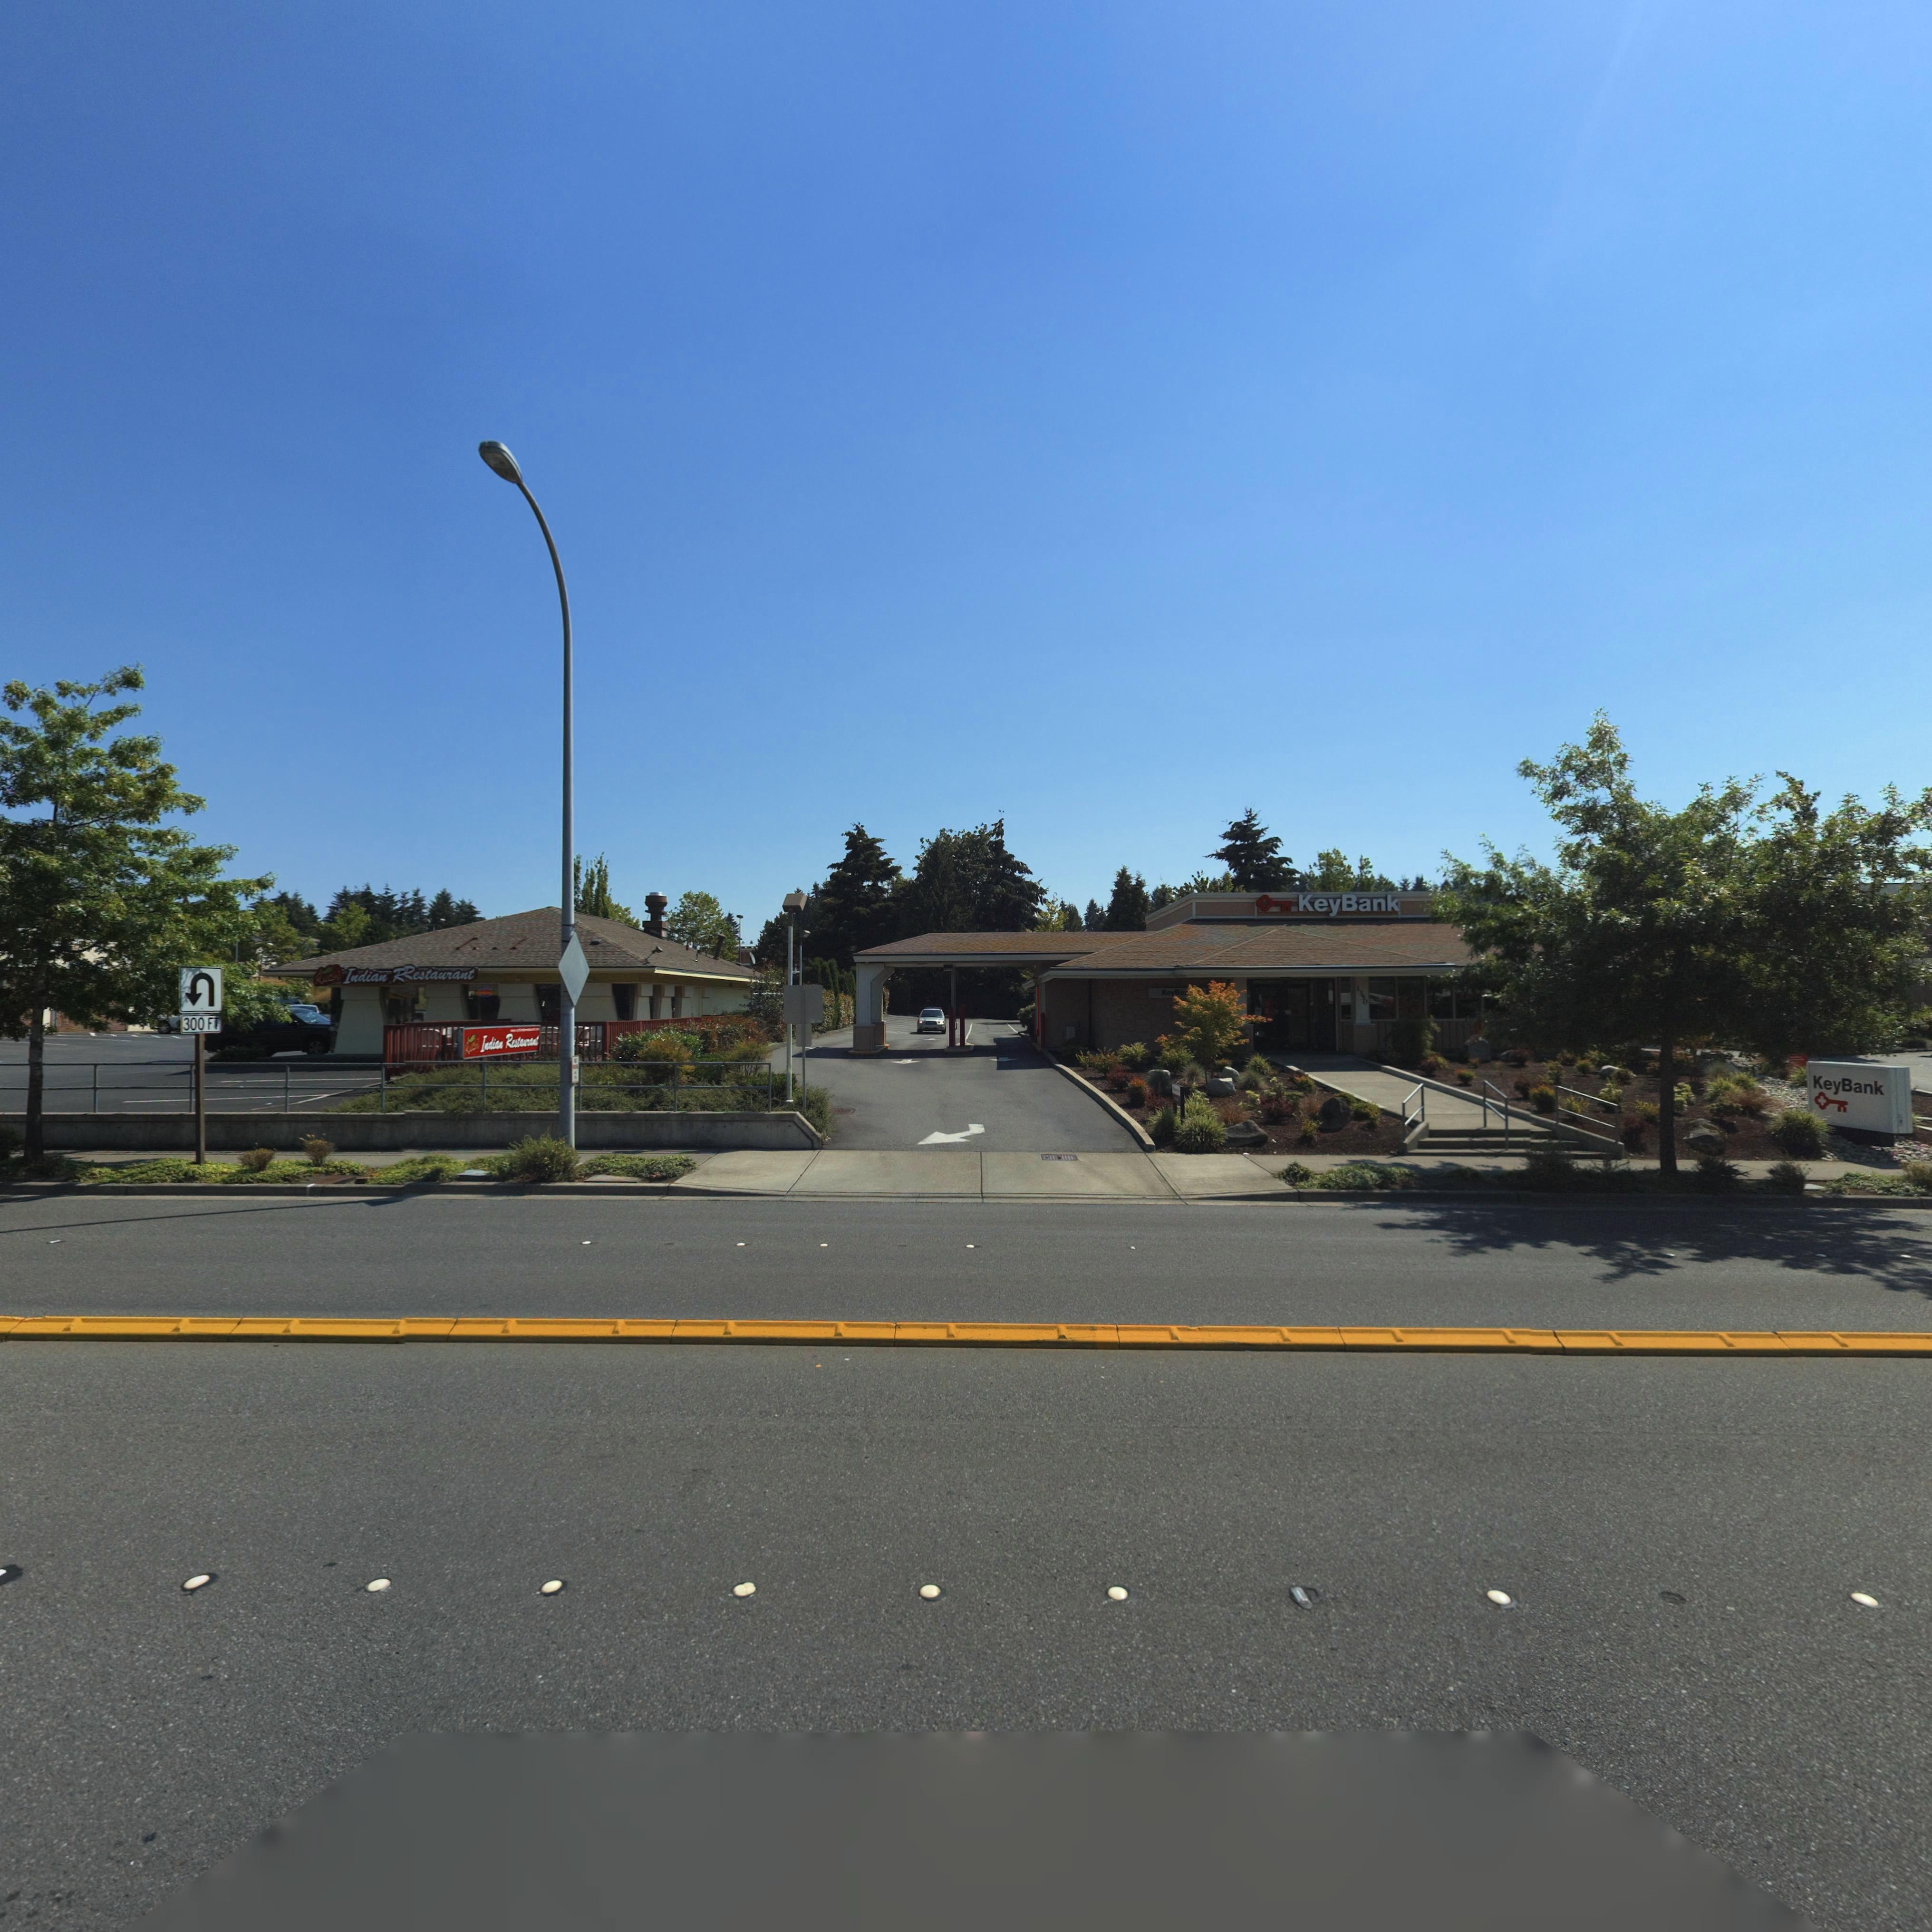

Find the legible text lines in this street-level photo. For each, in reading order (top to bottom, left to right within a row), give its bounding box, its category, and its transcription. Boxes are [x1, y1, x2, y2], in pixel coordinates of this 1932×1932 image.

[1299, 894, 1399, 916] BusinessName: KeyBank
[313, 963, 479, 985] BusinessName: Ruchi Indian R*estaurant
[1160, 988, 1187, 998] BusinessName: KeyBa*
[1355, 984, 1369, 1006] StreetNumber: 1350
[183, 1016, 221, 1031] TrafficSign: 300 FT
[479, 1032, 540, 1053] BusinessName: Indian Restaurant
[1812, 1072, 1885, 1097] BusinessName: KeyBank